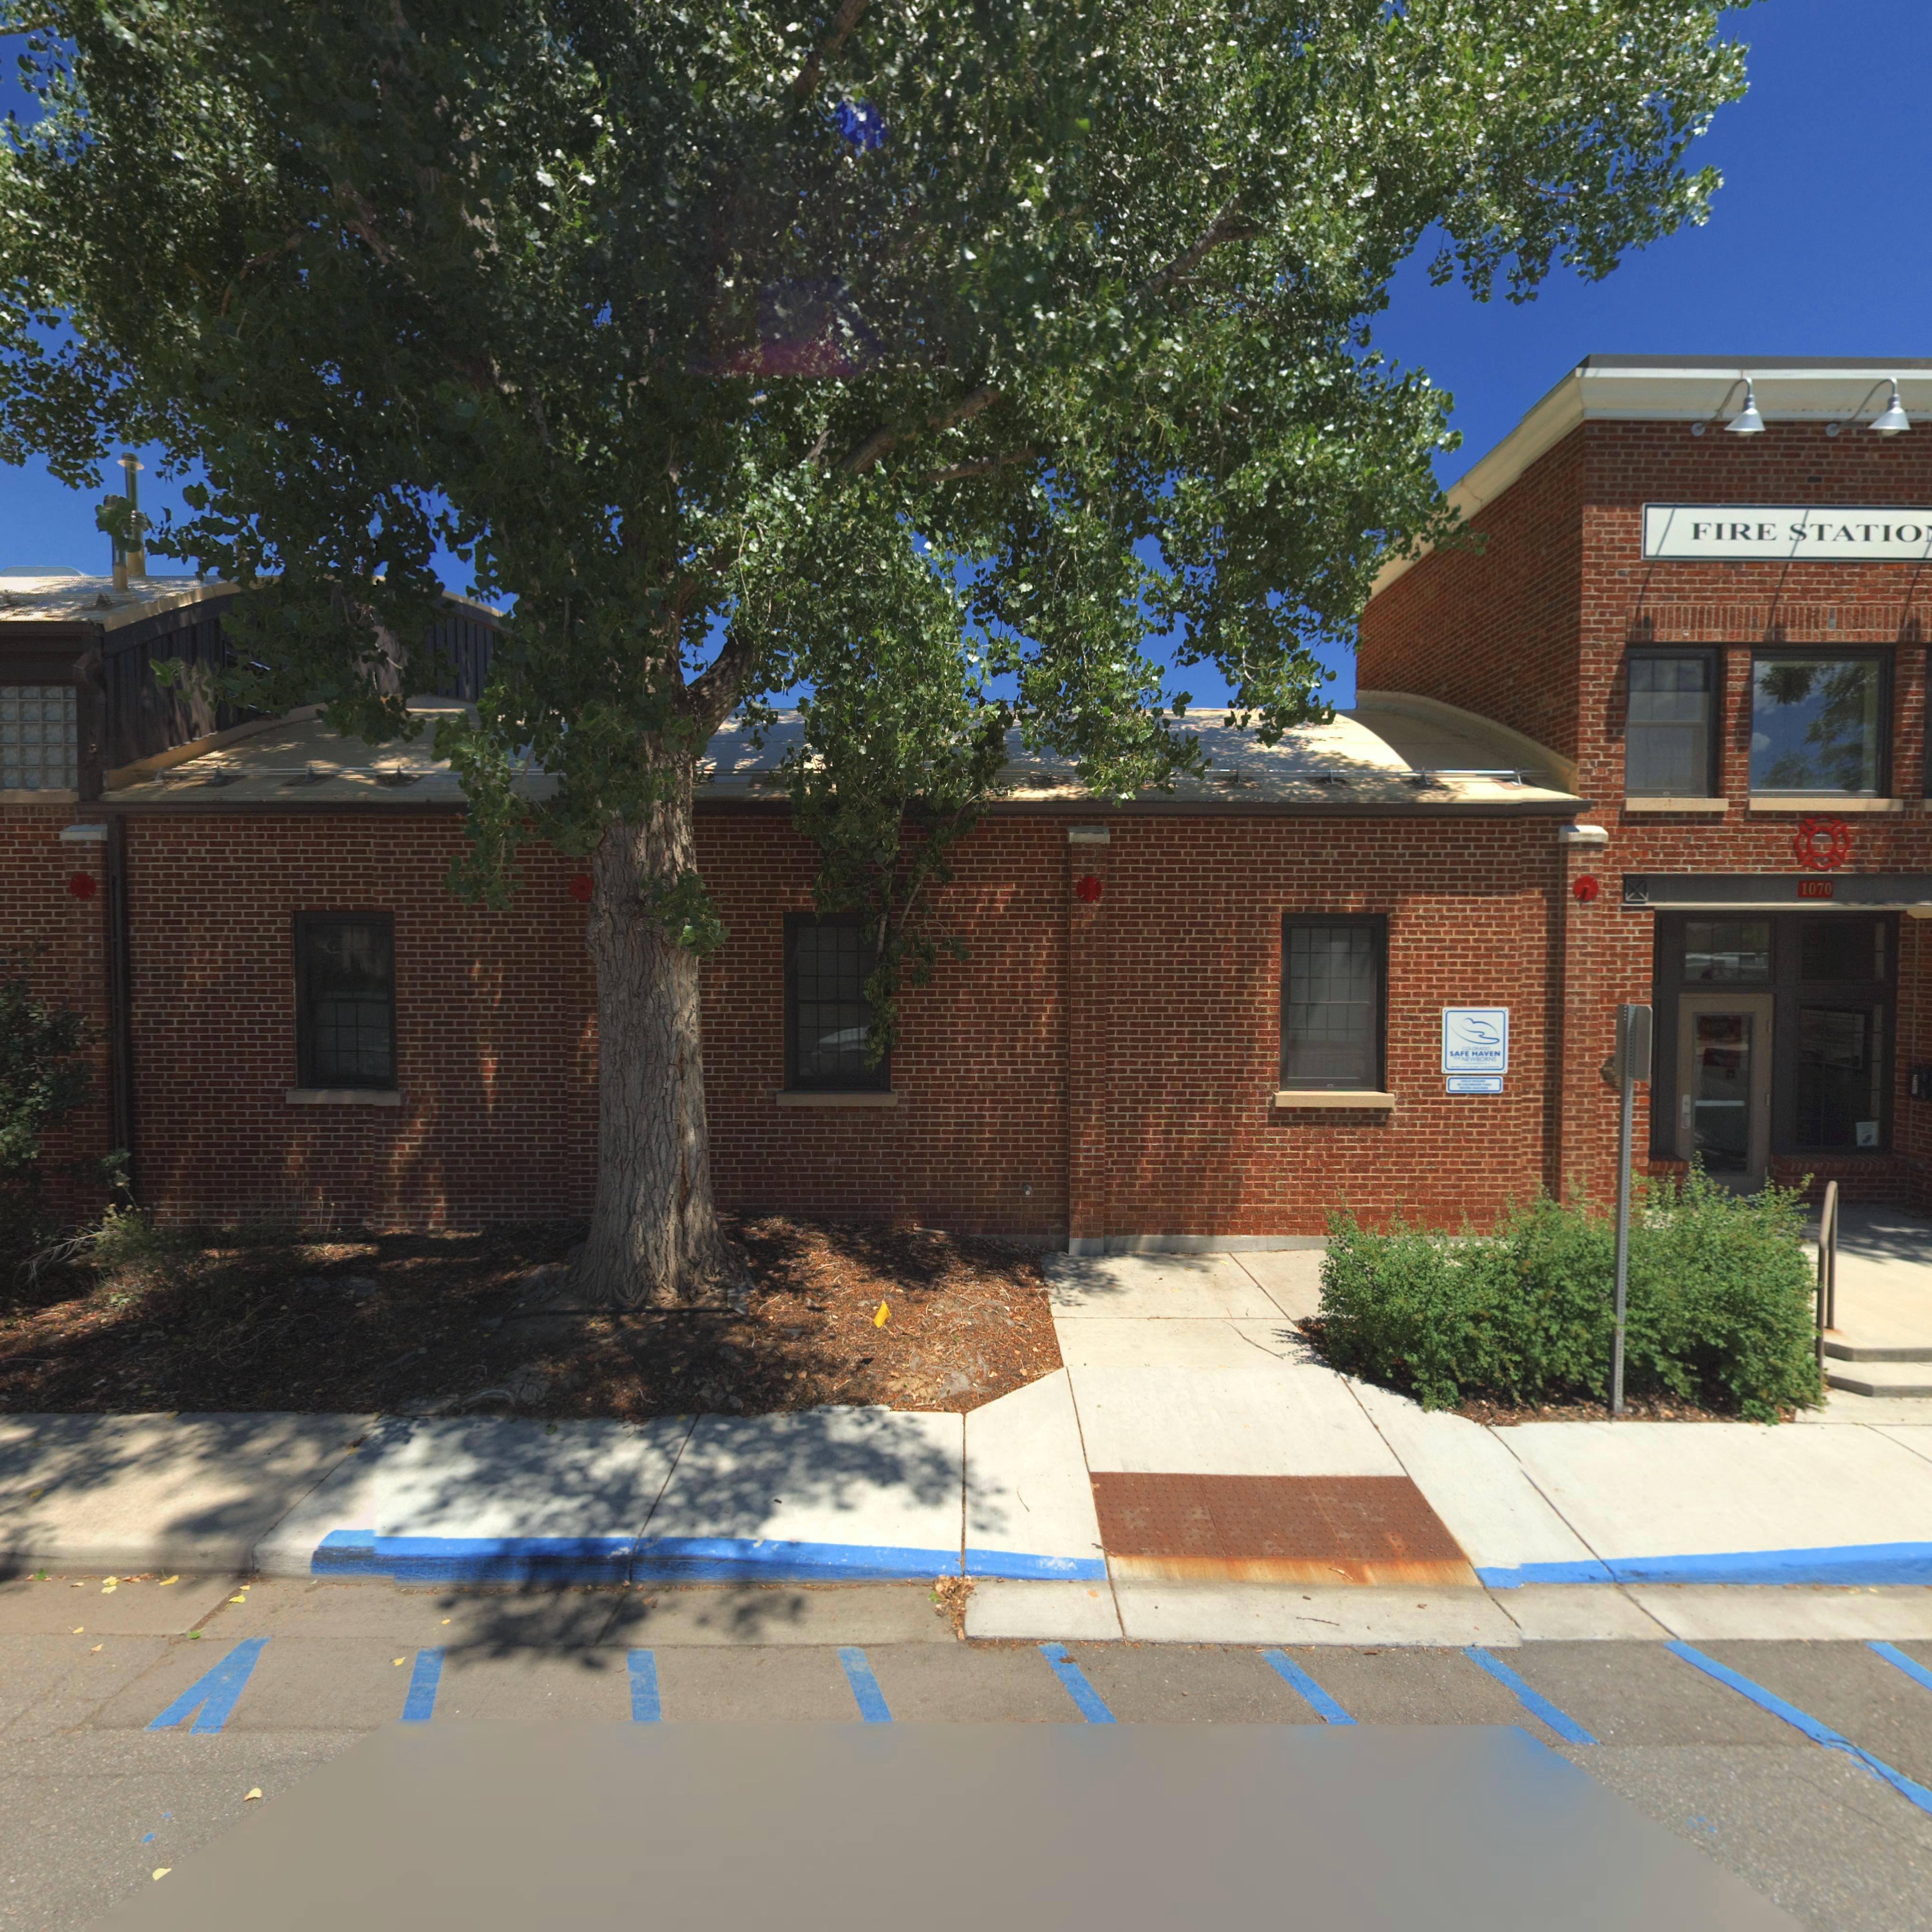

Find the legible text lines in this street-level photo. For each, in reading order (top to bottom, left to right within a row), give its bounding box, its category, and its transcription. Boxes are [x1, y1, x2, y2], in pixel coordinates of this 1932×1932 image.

[1690, 521, 1922, 543] BusinessName: FIRE STATIO
[1801, 882, 1832, 895] StreetNumber: 1070